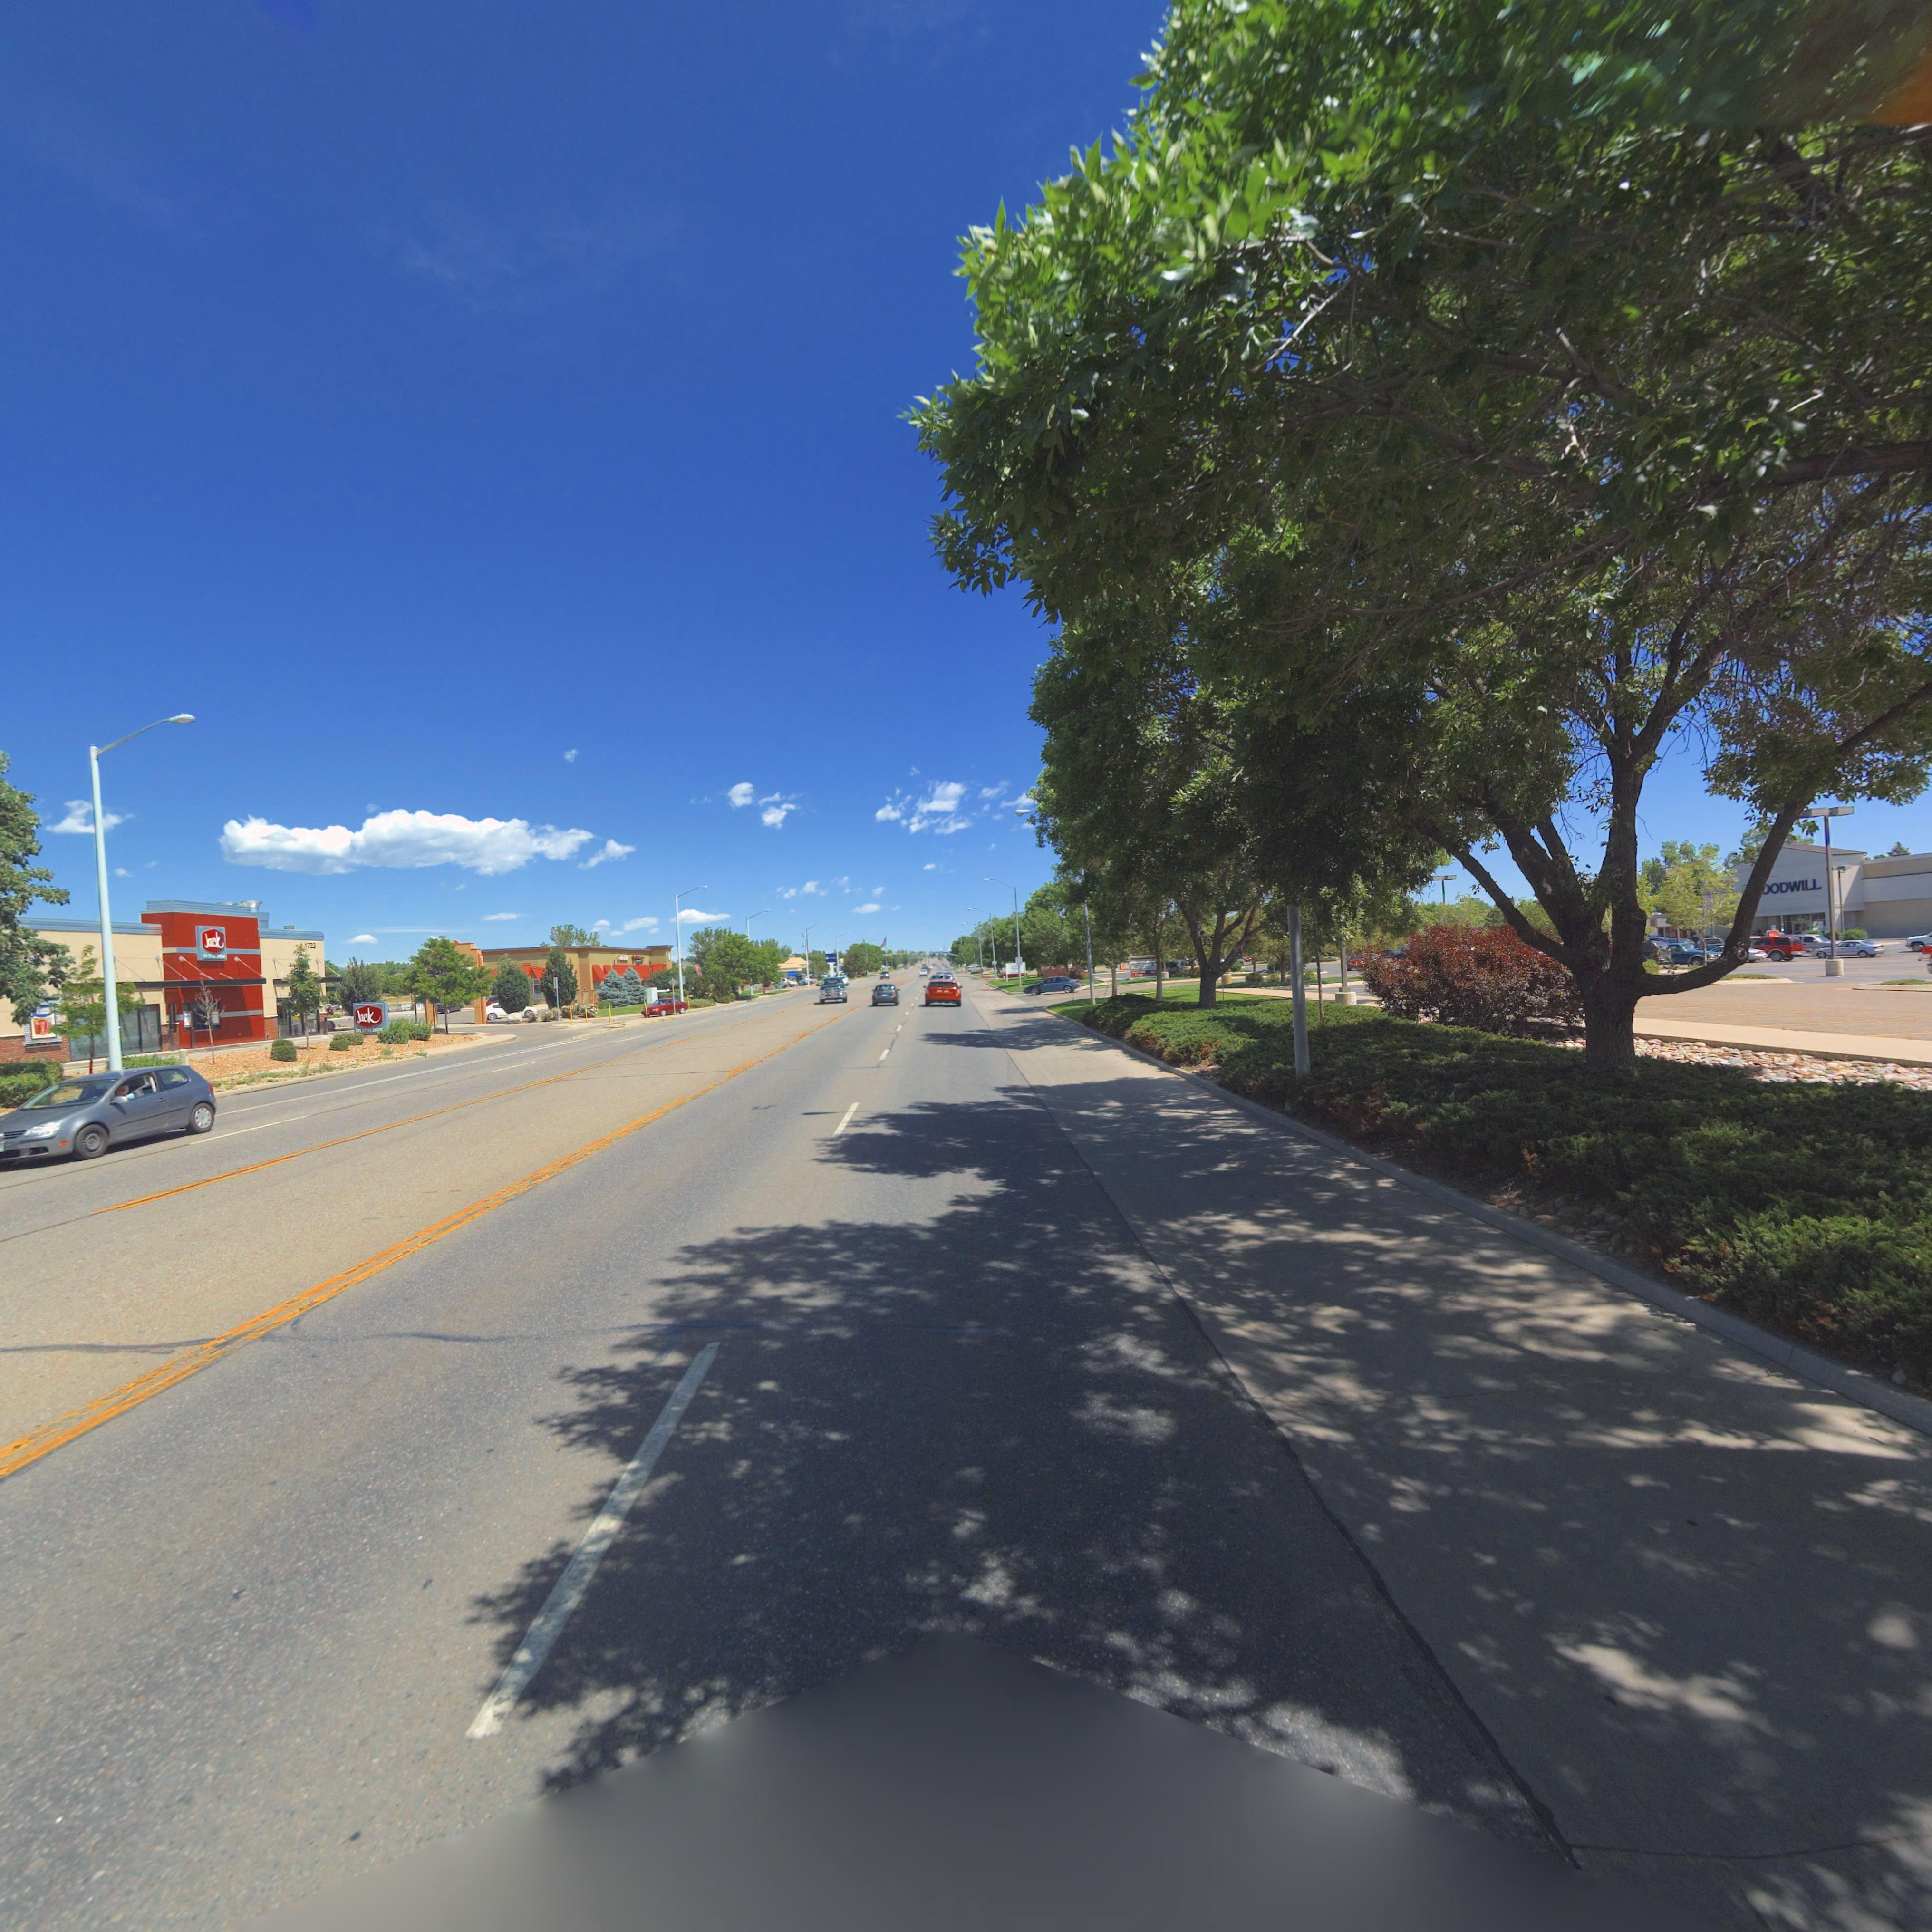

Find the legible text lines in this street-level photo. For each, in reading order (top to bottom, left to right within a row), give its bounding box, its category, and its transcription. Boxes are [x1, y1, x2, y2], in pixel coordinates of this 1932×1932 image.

[1761, 879, 1822, 895] BusinessName: *ODWILL
[203, 931, 224, 949] BusinessName: Jack
[304, 942, 316, 949] StreetNumber: 1723
[202, 952, 225, 958] BusinessName: ** ** bo*
[356, 1007, 381, 1024] BusinessName: Jack
[355, 1027, 383, 1033] BusinessName: ** ** b**